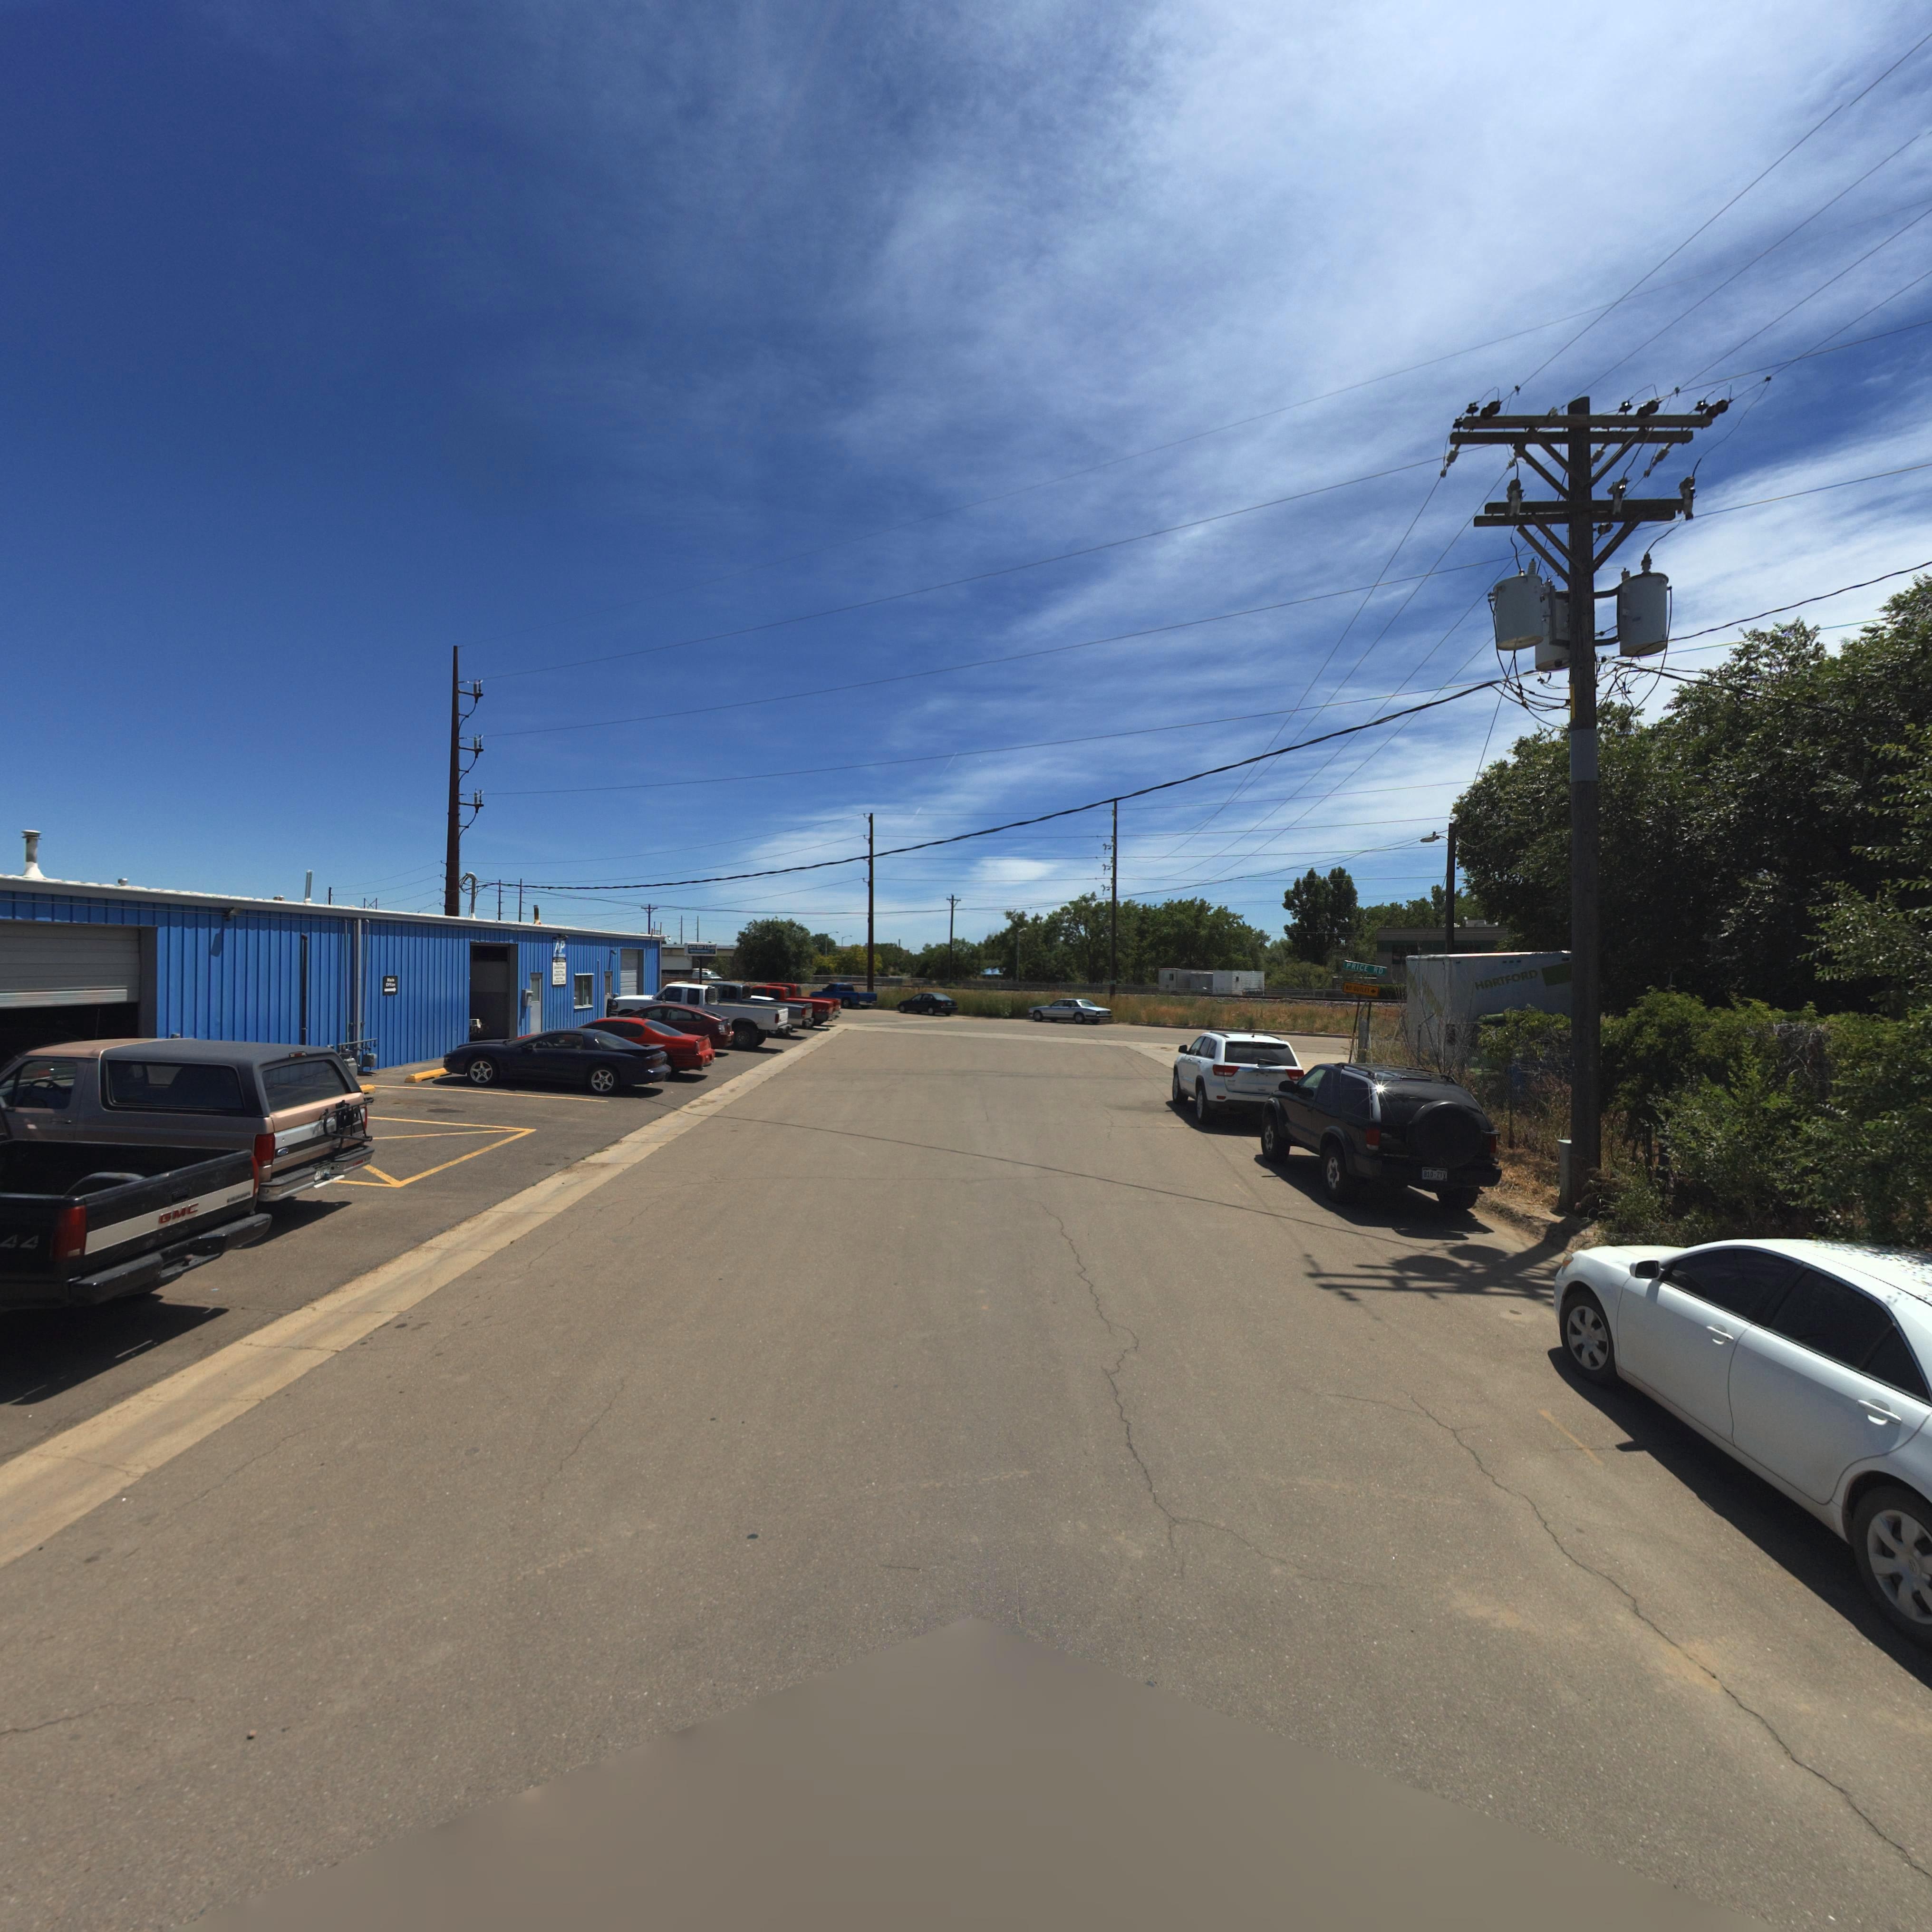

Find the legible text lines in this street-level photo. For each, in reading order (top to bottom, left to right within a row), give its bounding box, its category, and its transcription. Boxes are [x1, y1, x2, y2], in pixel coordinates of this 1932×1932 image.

[553, 939, 565, 953] BusinessName: AP
[1345, 962, 1384, 975] StreetName: PRICE RD
[0, 1234, 39, 1249] StreetNumber: 44